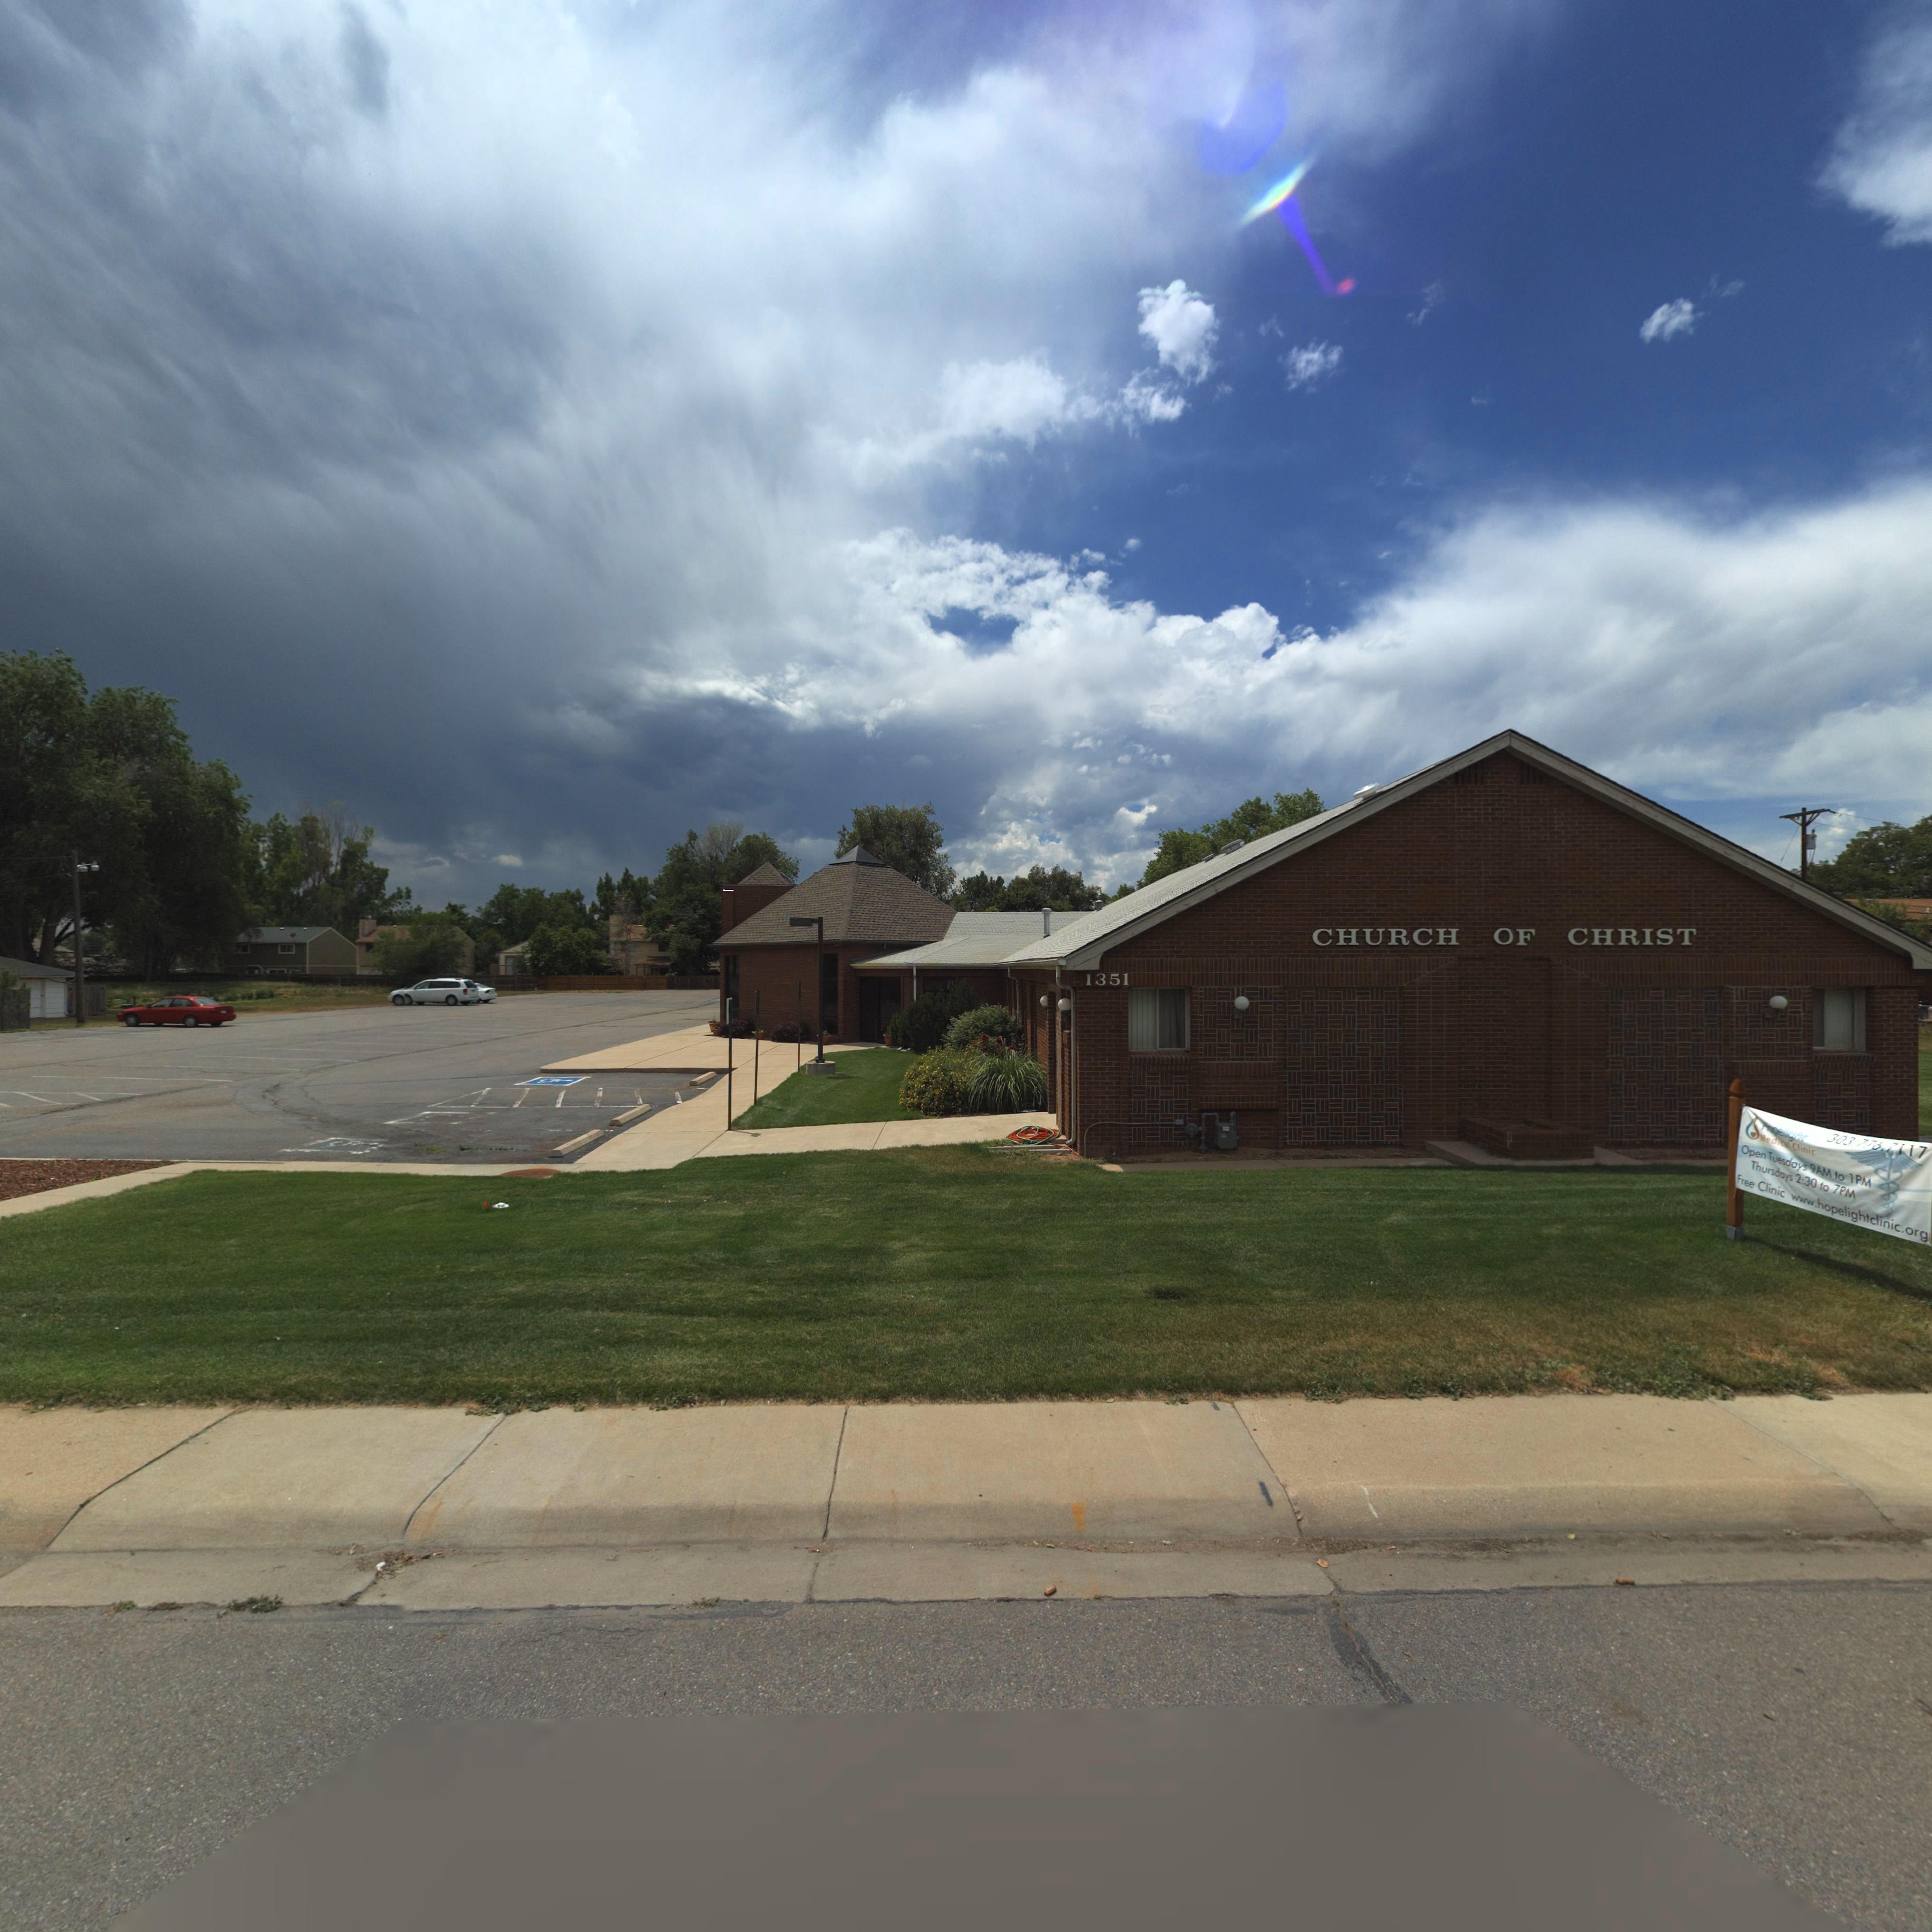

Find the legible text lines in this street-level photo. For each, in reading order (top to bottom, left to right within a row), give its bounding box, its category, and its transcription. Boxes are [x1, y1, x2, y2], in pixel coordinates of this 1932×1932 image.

[1310, 927, 1696, 947] BusinessName: CHURCH OF CHRIST
[1086, 972, 1129, 985] StreetNumber: 1351